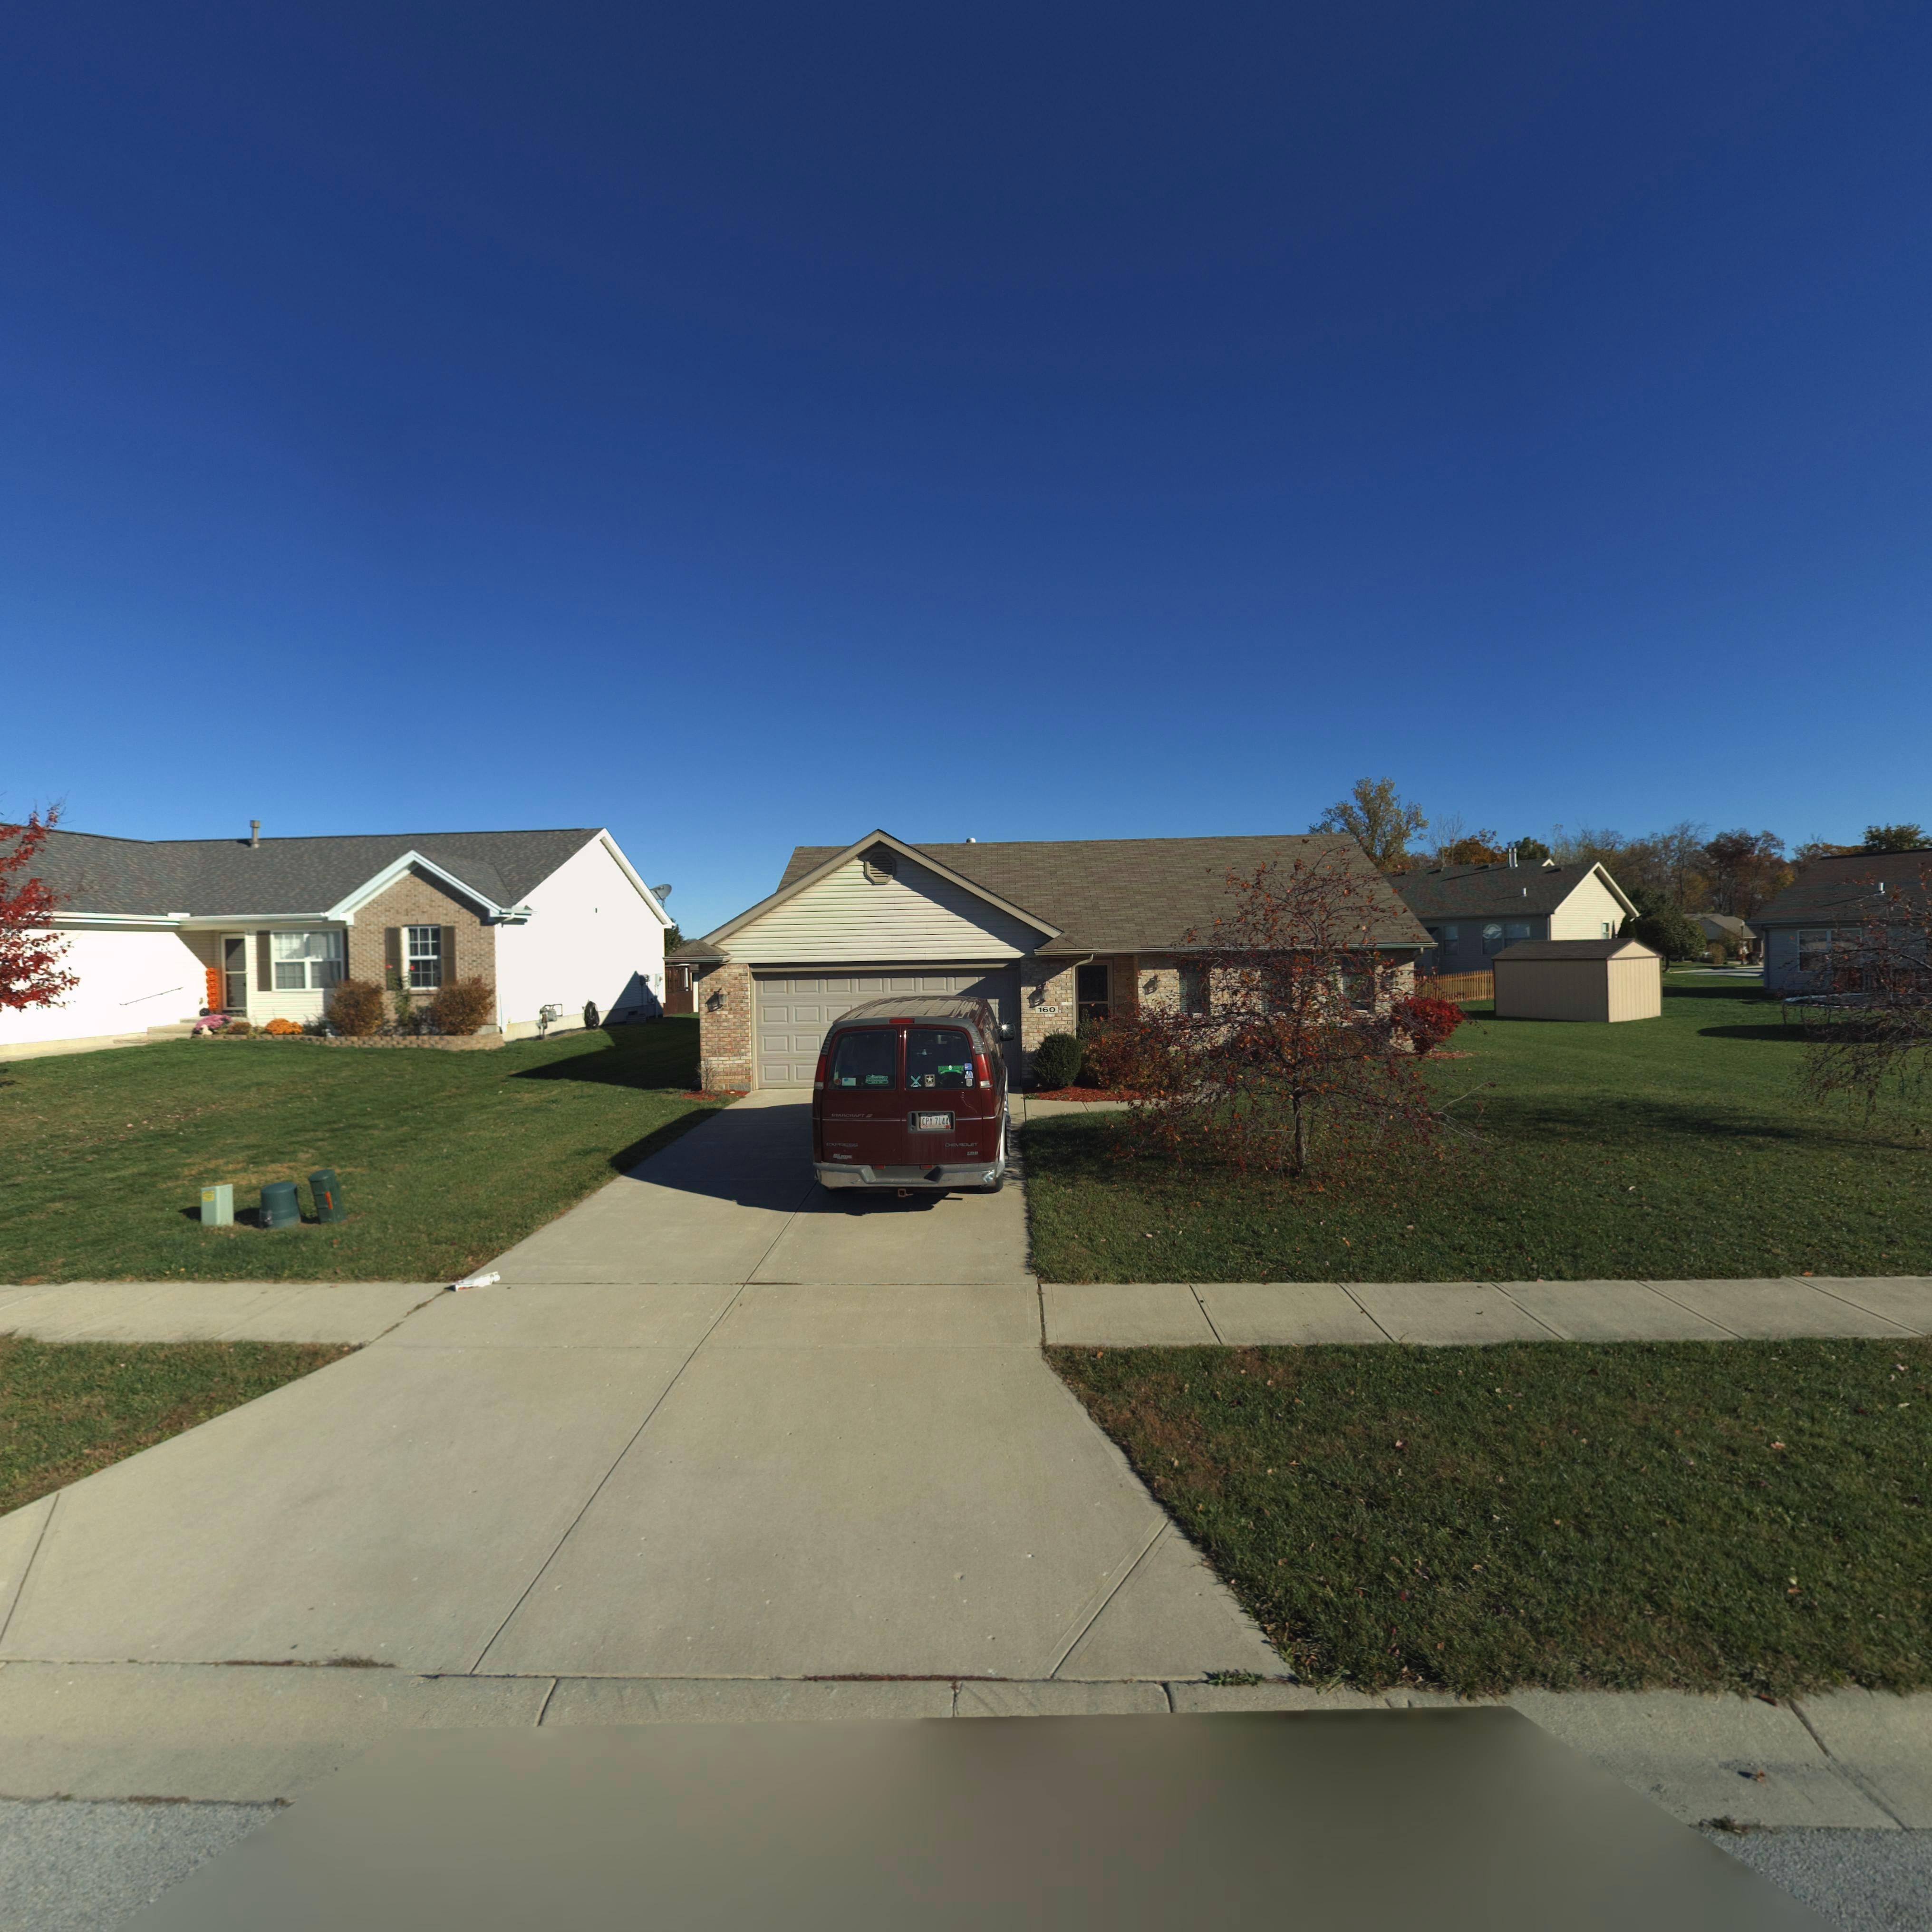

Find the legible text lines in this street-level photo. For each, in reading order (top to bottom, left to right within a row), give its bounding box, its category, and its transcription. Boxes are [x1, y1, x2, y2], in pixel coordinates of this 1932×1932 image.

[1038, 1007, 1055, 1013] StreetNumber: 160